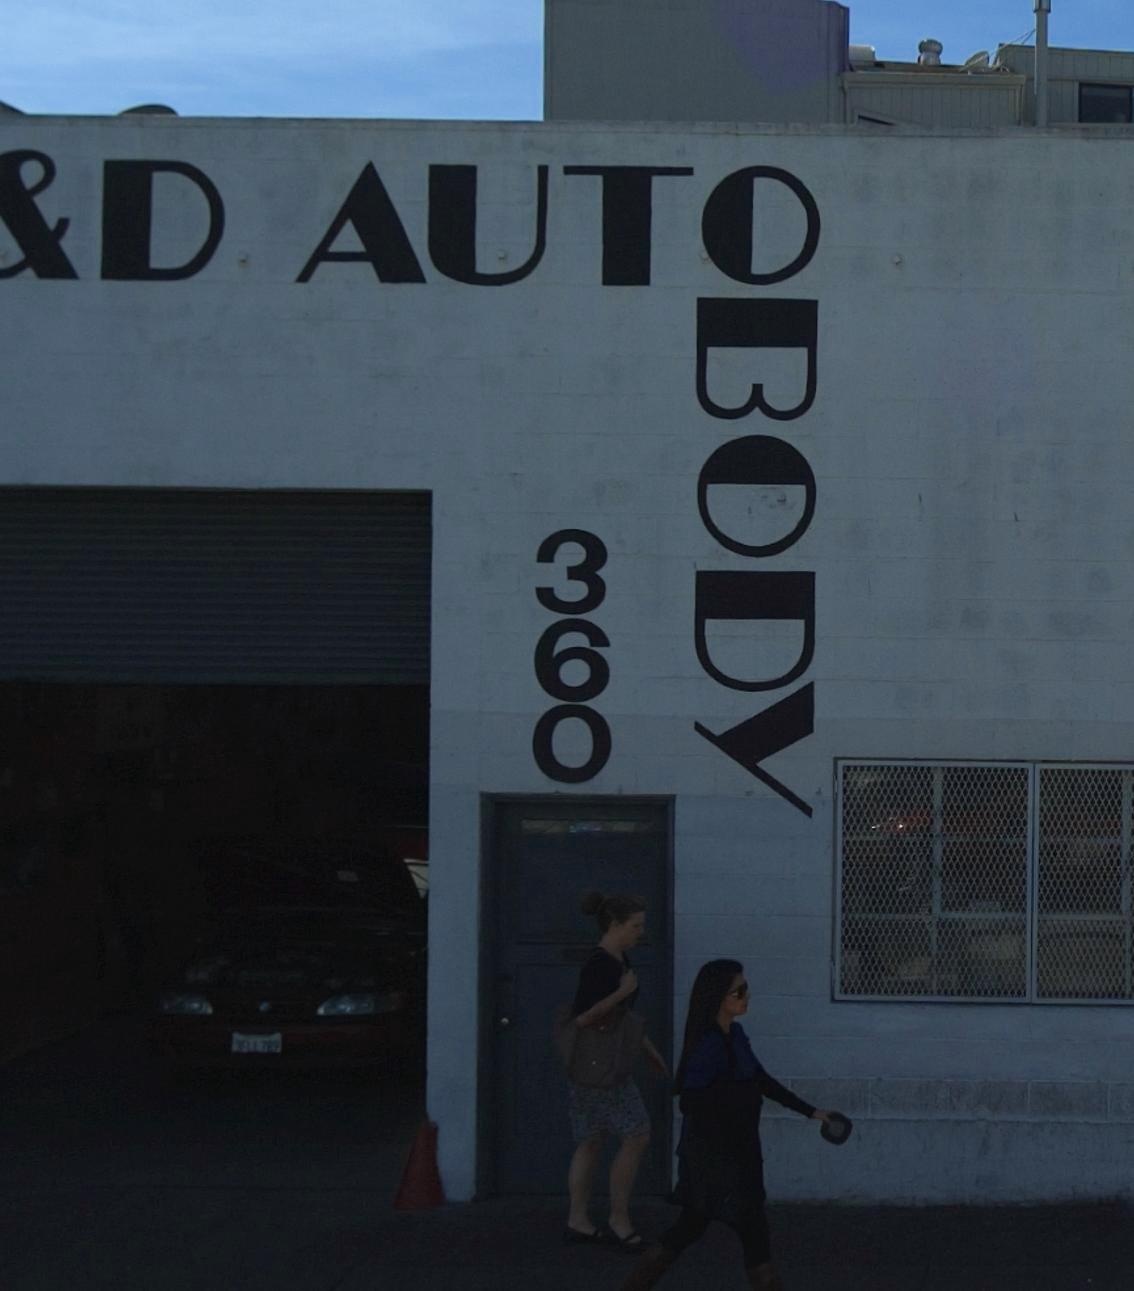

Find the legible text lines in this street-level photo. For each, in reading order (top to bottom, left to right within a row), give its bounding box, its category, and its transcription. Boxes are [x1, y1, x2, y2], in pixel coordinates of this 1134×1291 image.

[91, 150, 833, 299] BusinessName: D AUTO
[528, 524, 614, 788] StreetNumber: 360
[688, 290, 827, 831] BusinessName: BODY